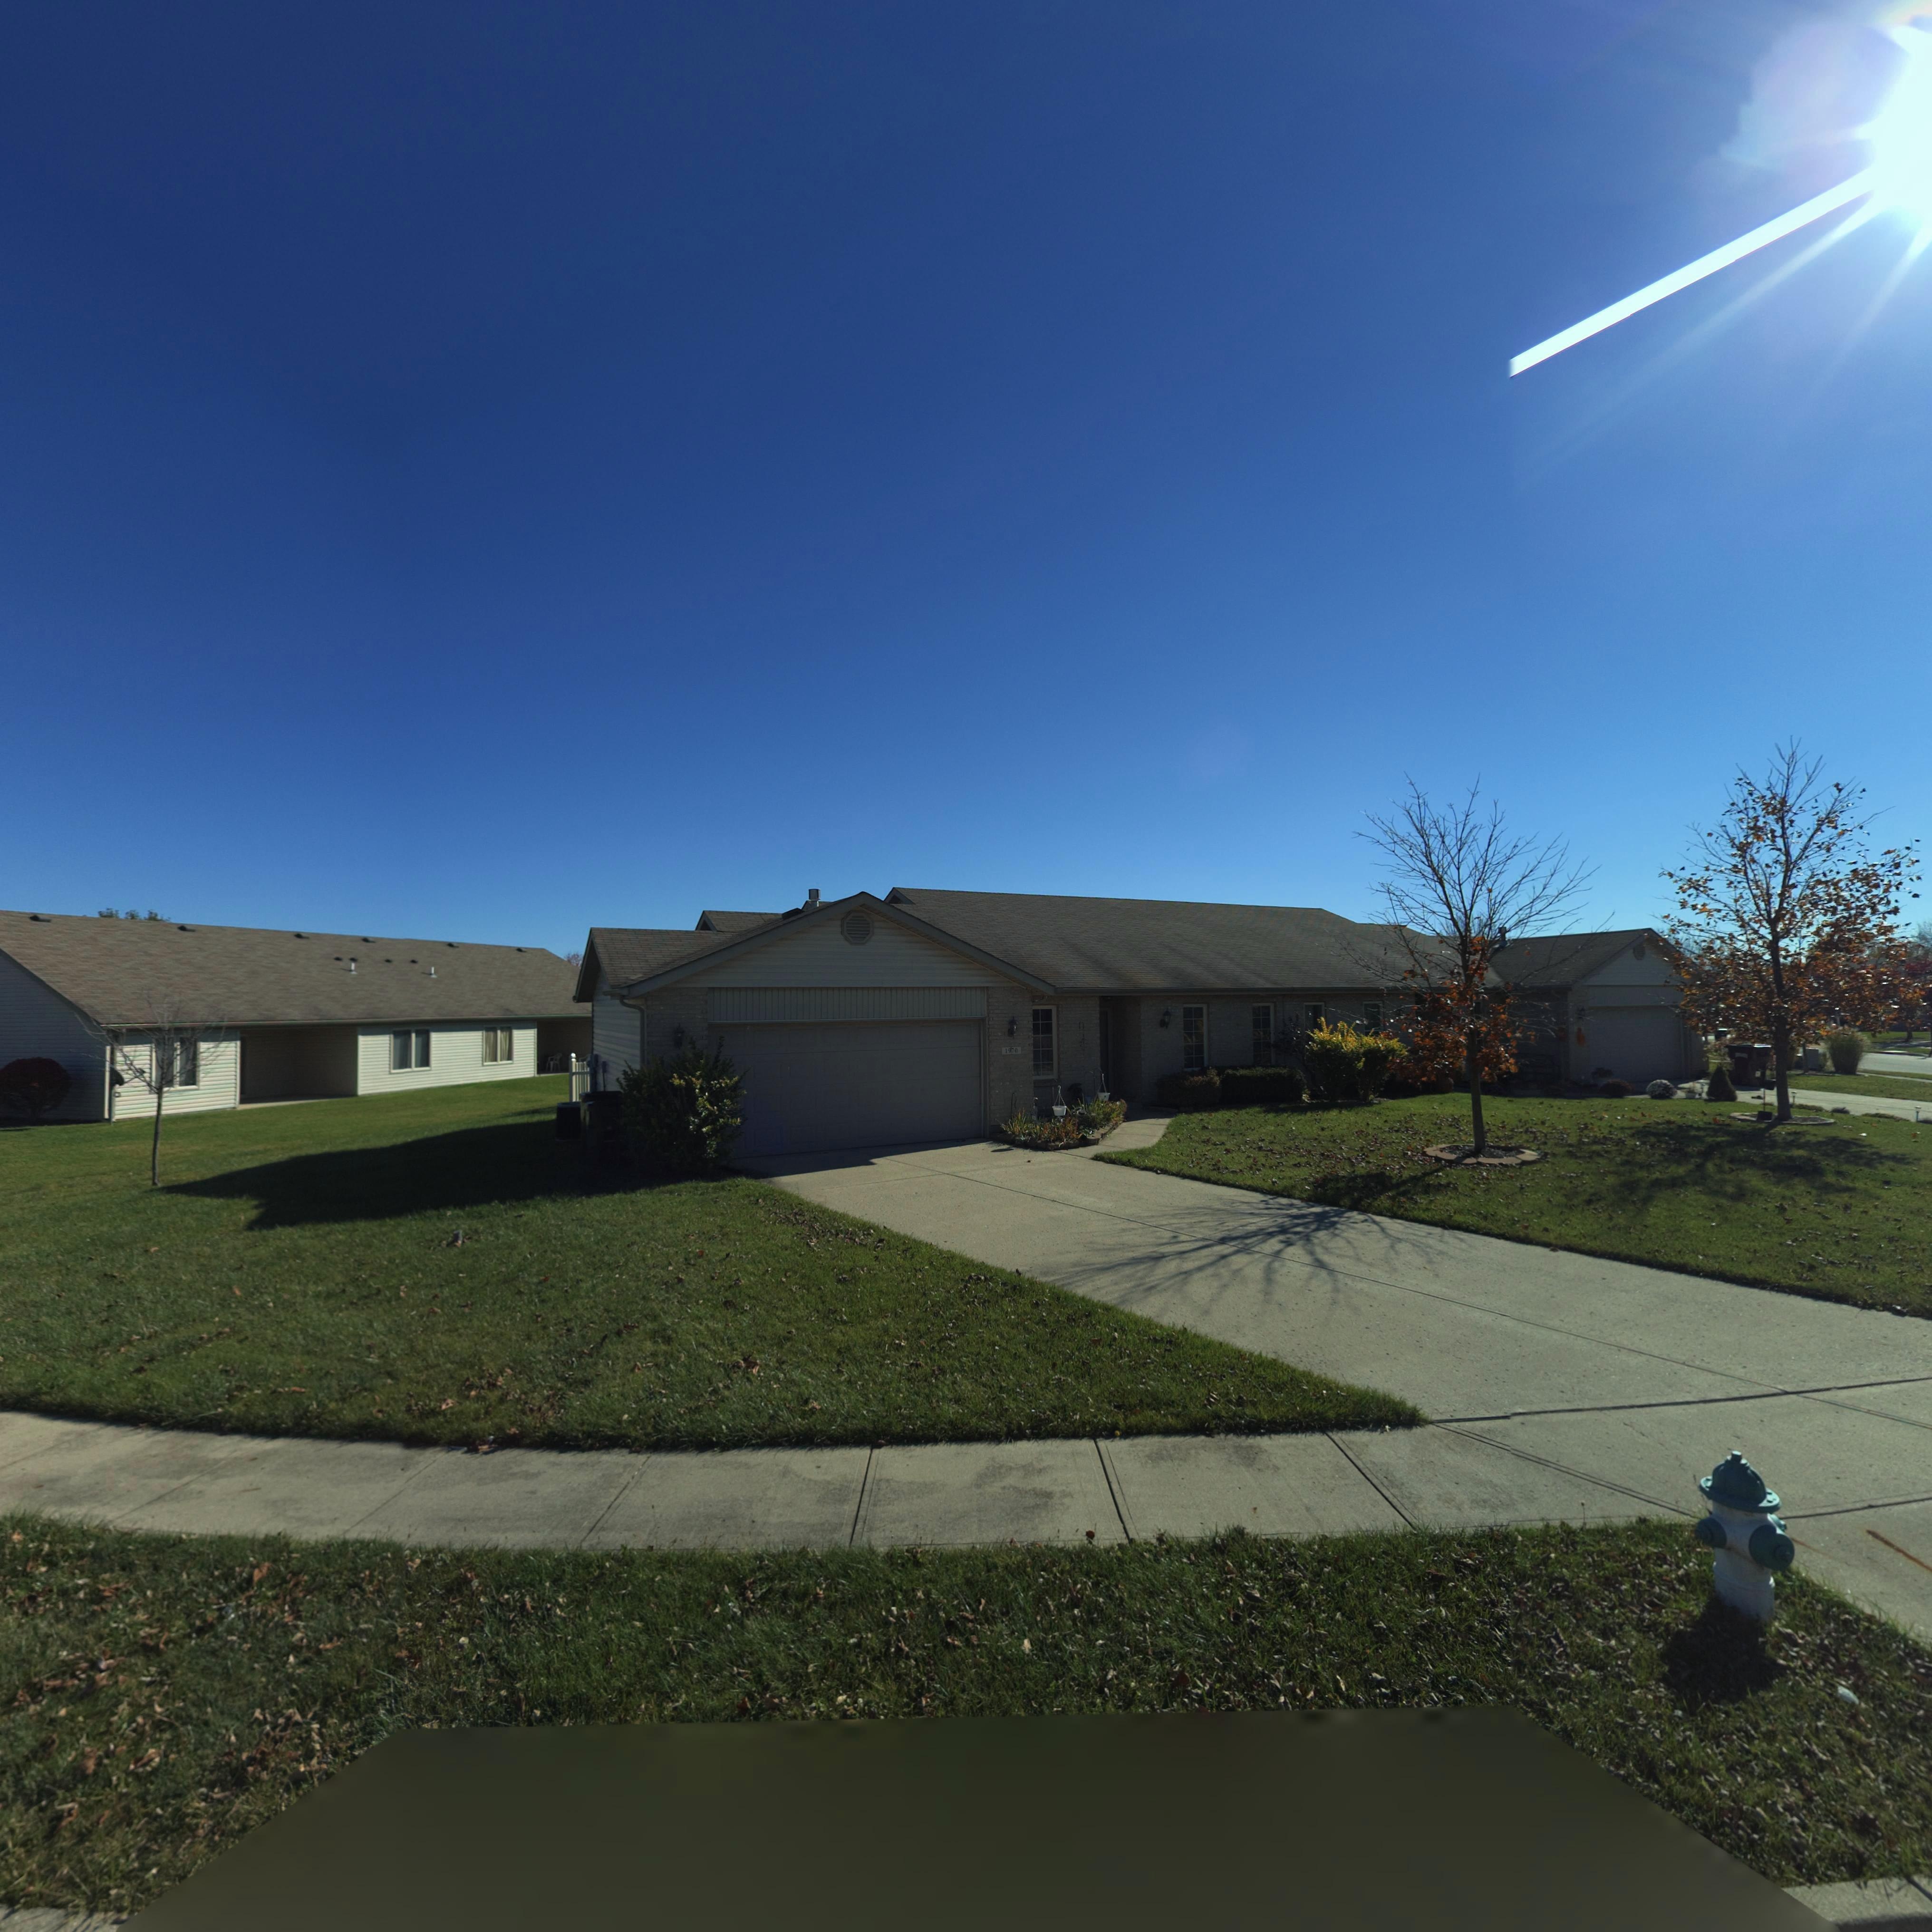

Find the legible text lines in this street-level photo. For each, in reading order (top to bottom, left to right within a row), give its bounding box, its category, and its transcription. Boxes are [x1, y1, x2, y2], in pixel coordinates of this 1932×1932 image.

[1005, 1047, 1019, 1054] StreetNumber: 1970